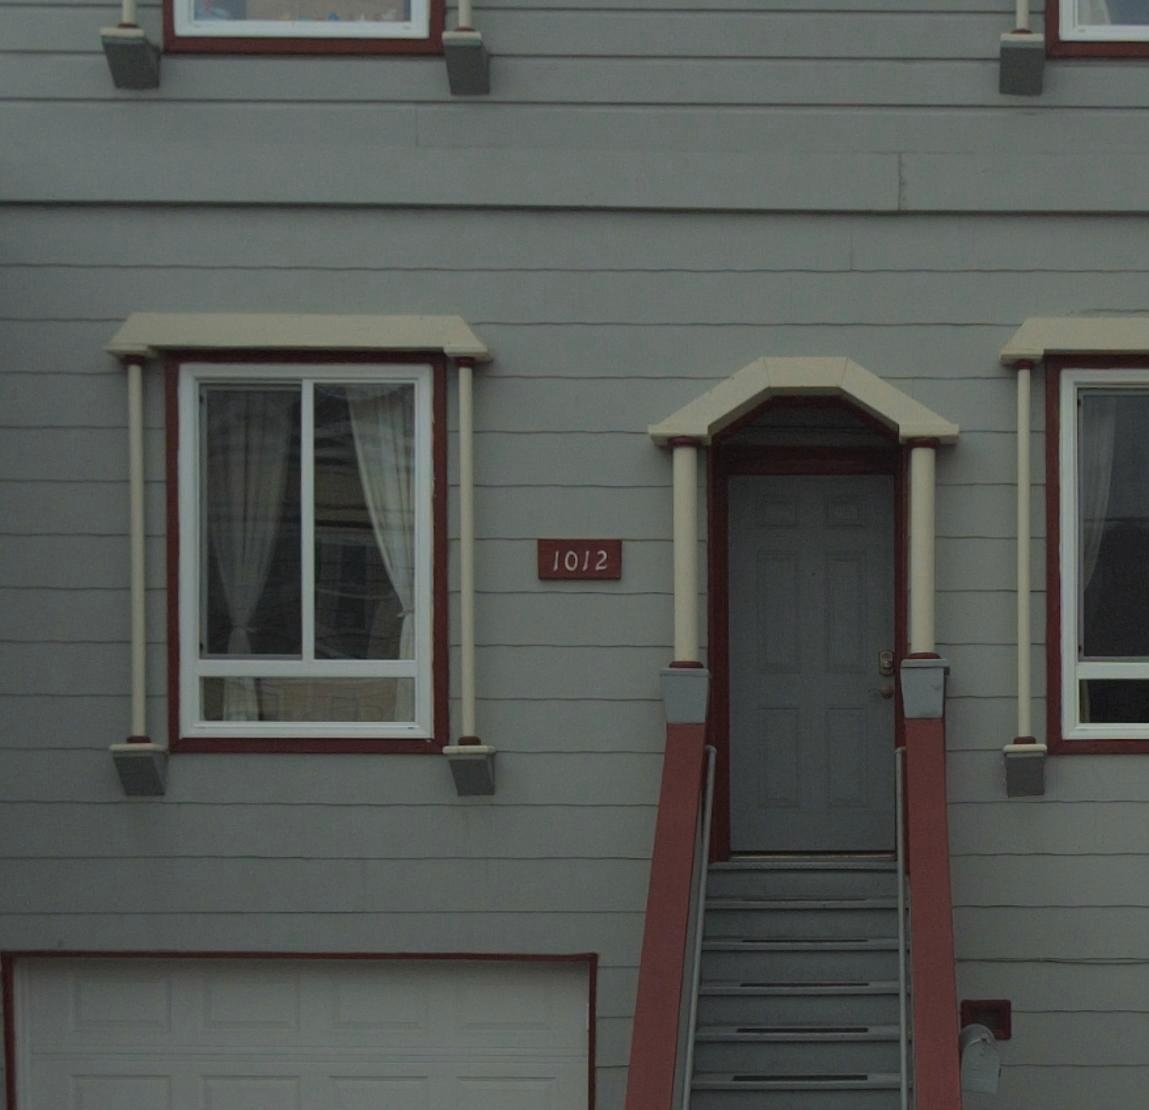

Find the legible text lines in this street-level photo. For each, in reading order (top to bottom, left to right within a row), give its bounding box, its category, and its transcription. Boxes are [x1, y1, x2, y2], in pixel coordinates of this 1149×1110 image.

[549, 548, 609, 573] StreetNumber: 1012